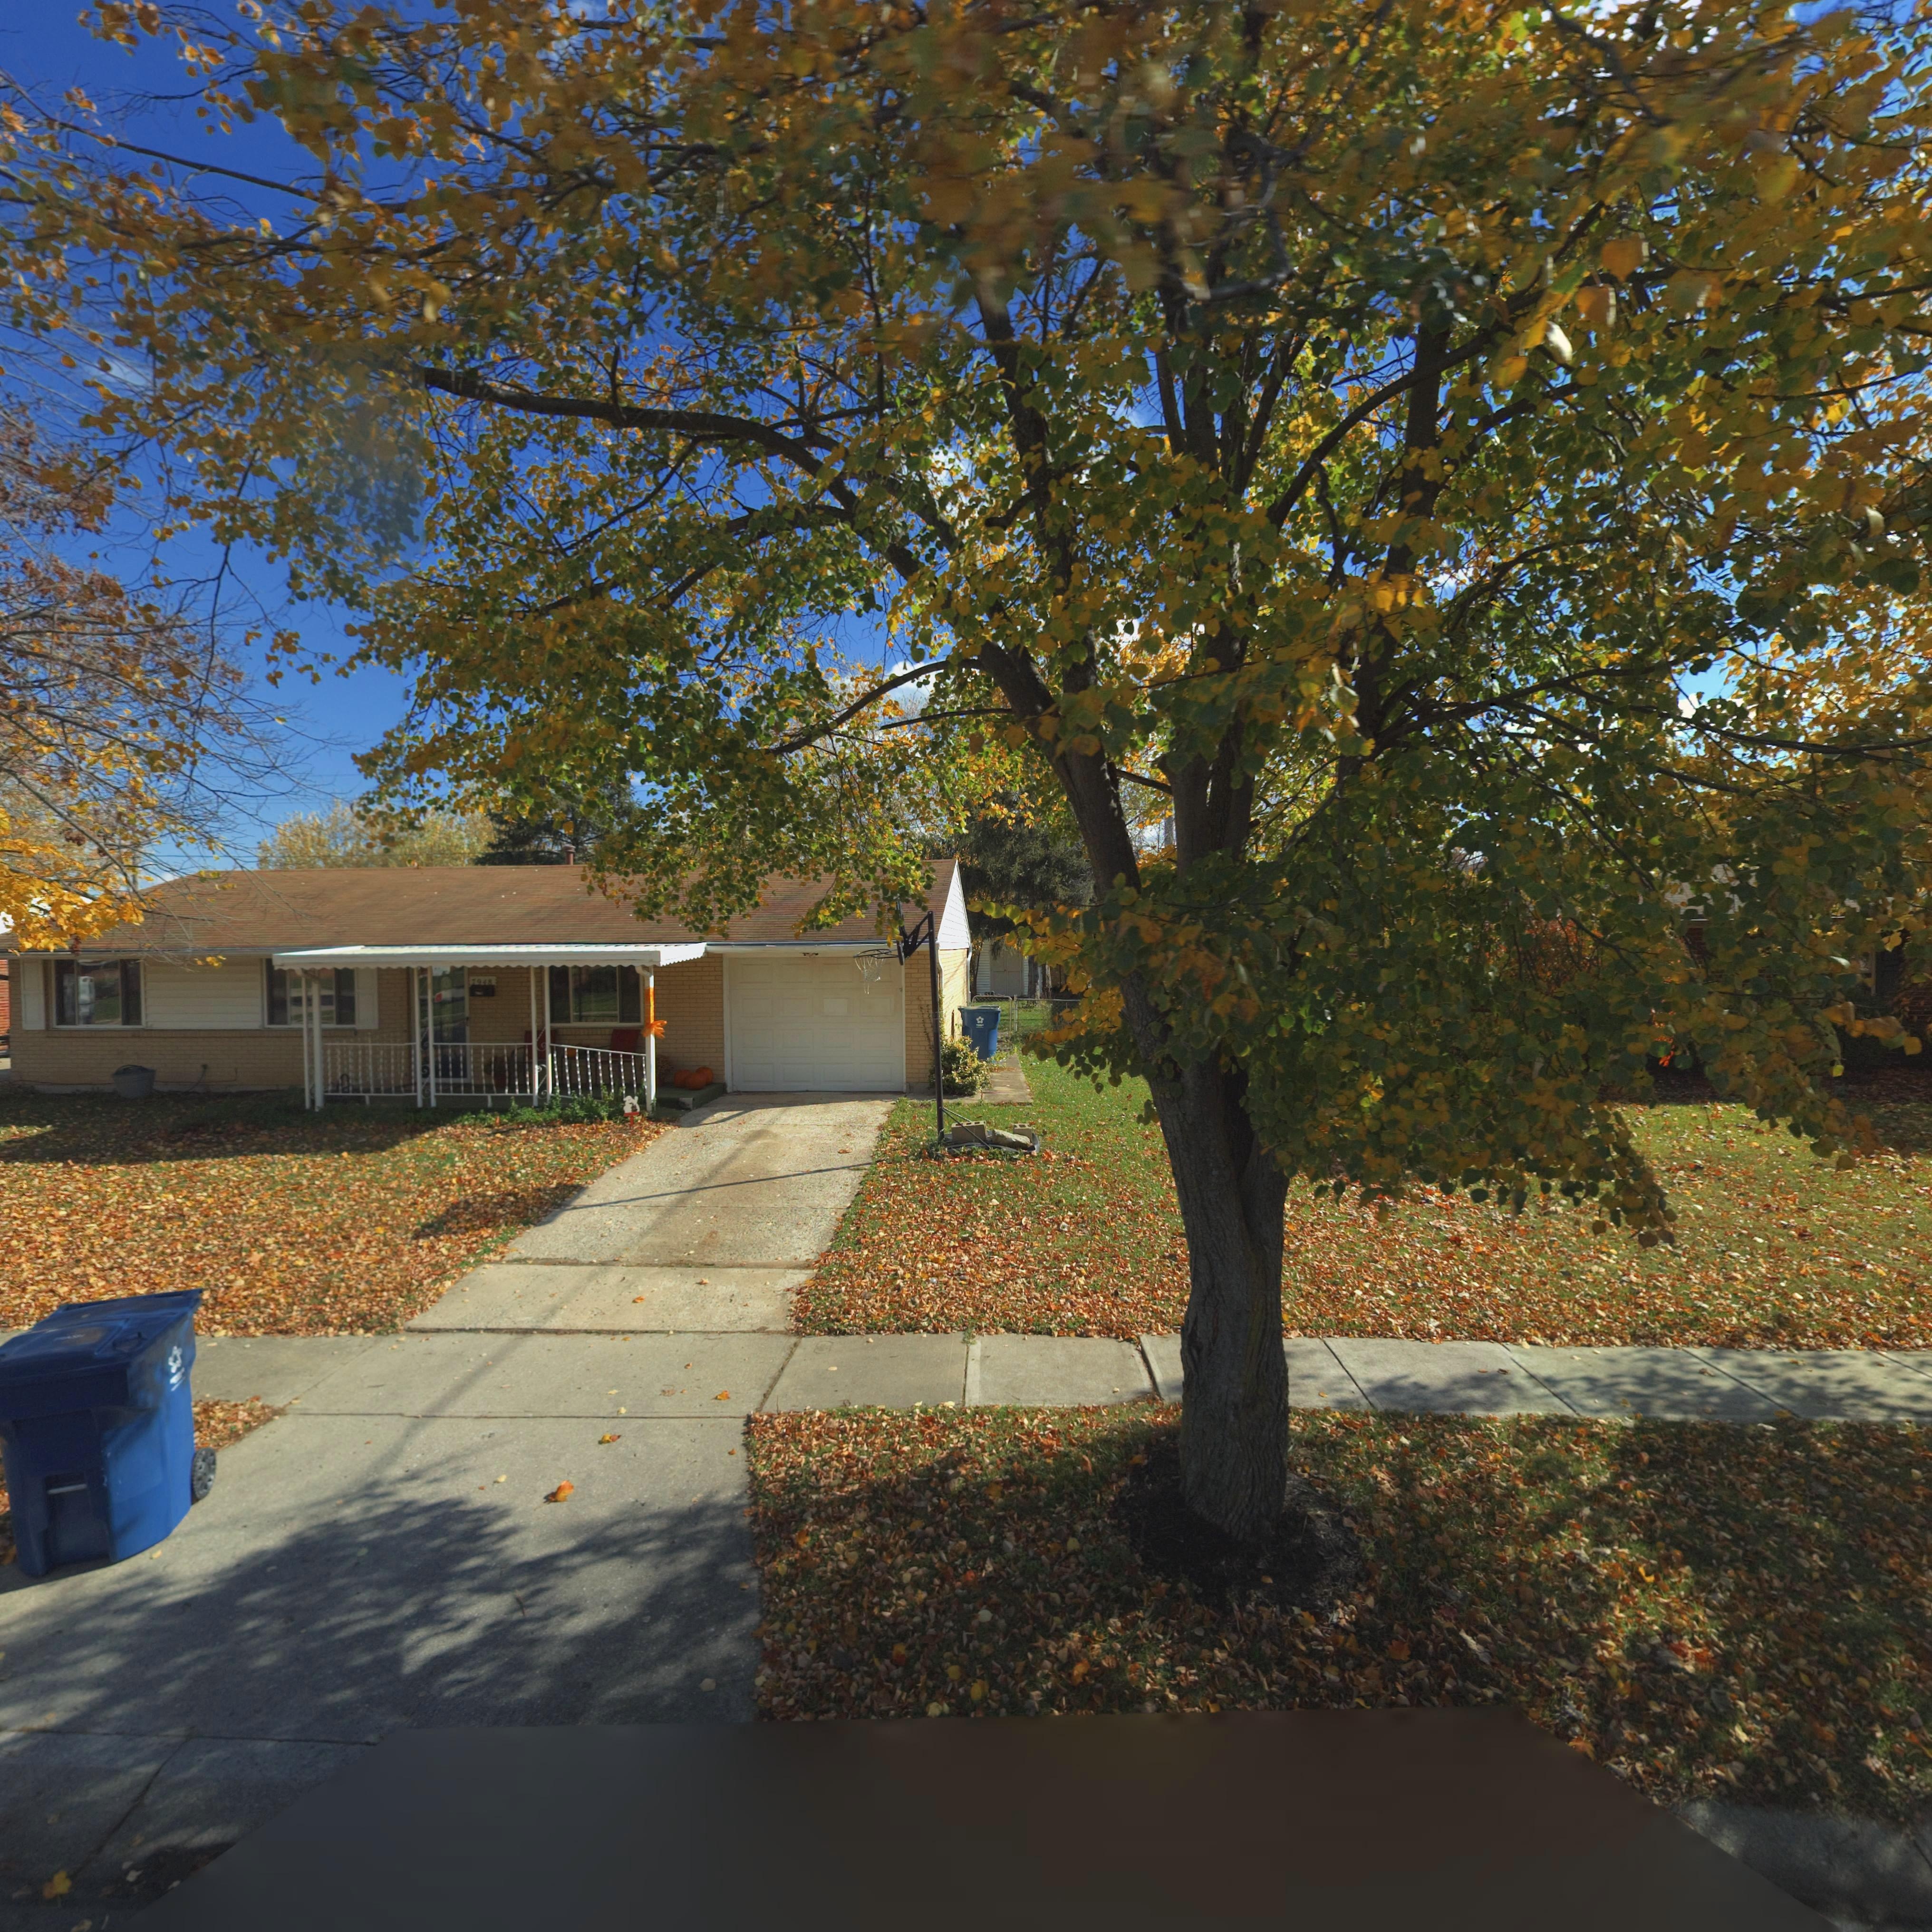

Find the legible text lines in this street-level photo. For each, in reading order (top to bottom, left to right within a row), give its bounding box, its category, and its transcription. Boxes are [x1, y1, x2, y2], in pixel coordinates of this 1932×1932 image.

[470, 977, 494, 986] StreetNumber: 7948